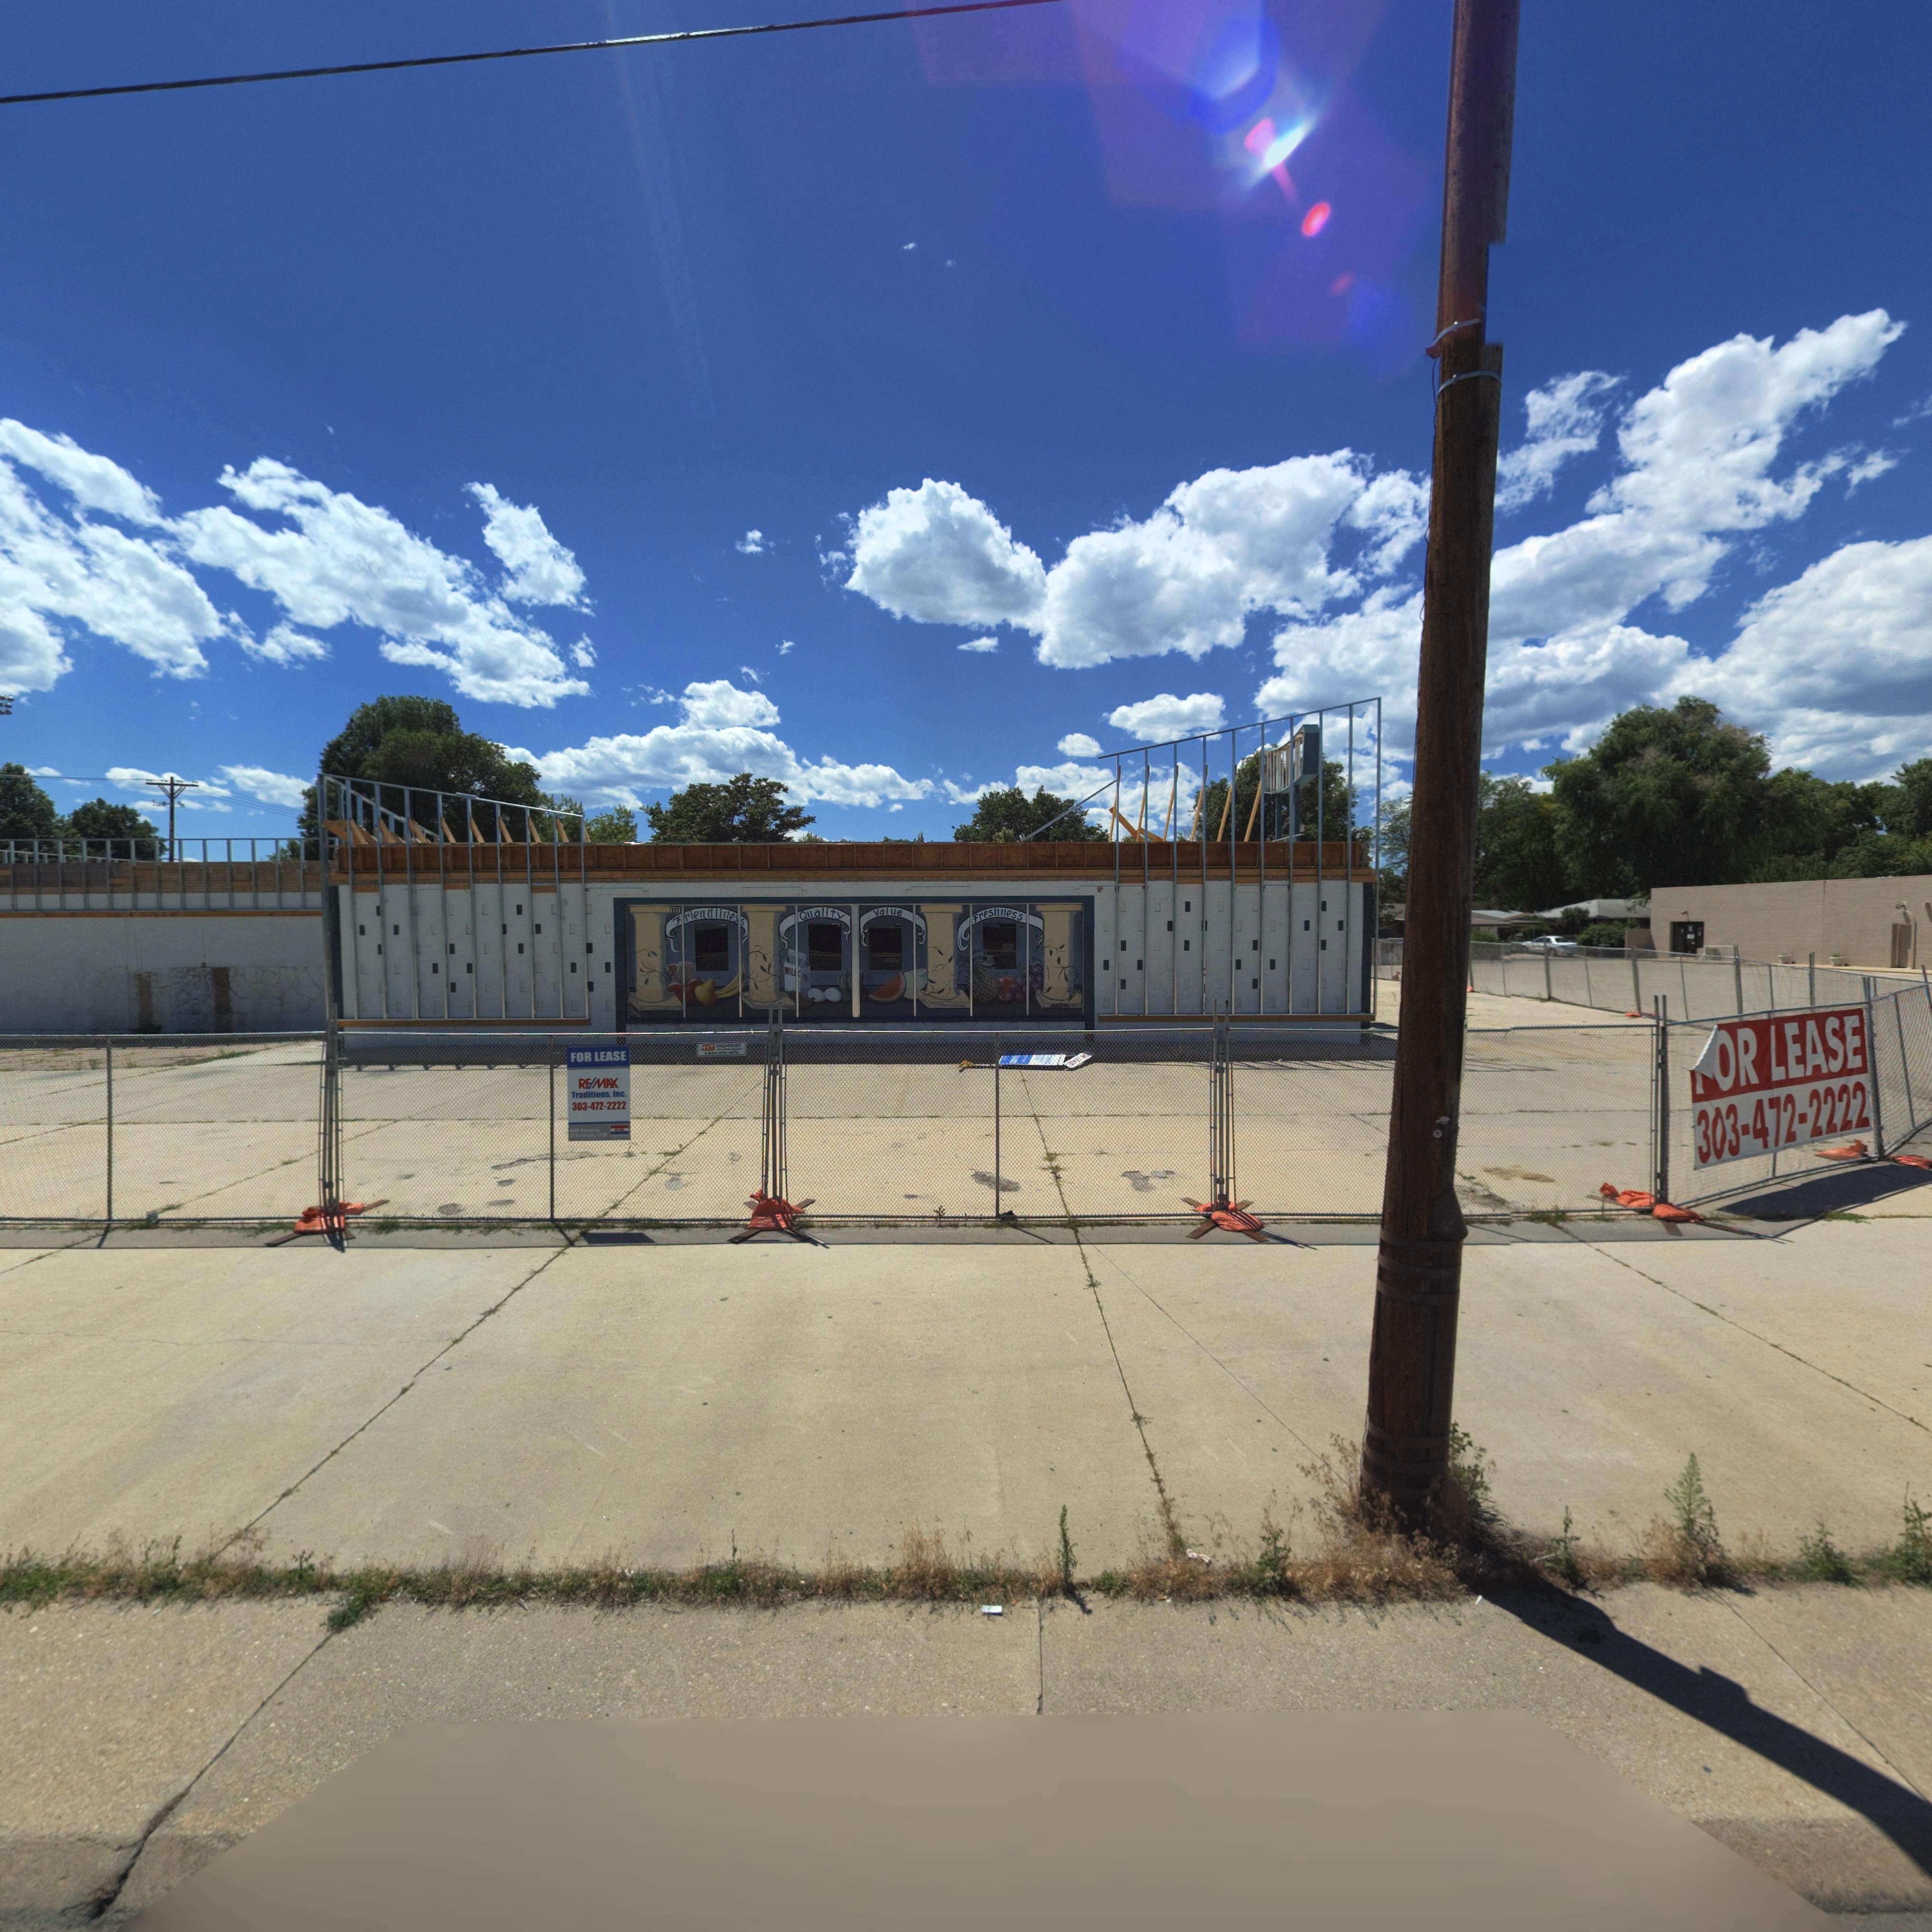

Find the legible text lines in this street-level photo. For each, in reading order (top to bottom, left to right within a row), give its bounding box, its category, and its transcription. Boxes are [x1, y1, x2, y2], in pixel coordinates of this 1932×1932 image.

[670, 907, 681, 913] StreetNumber: 1111